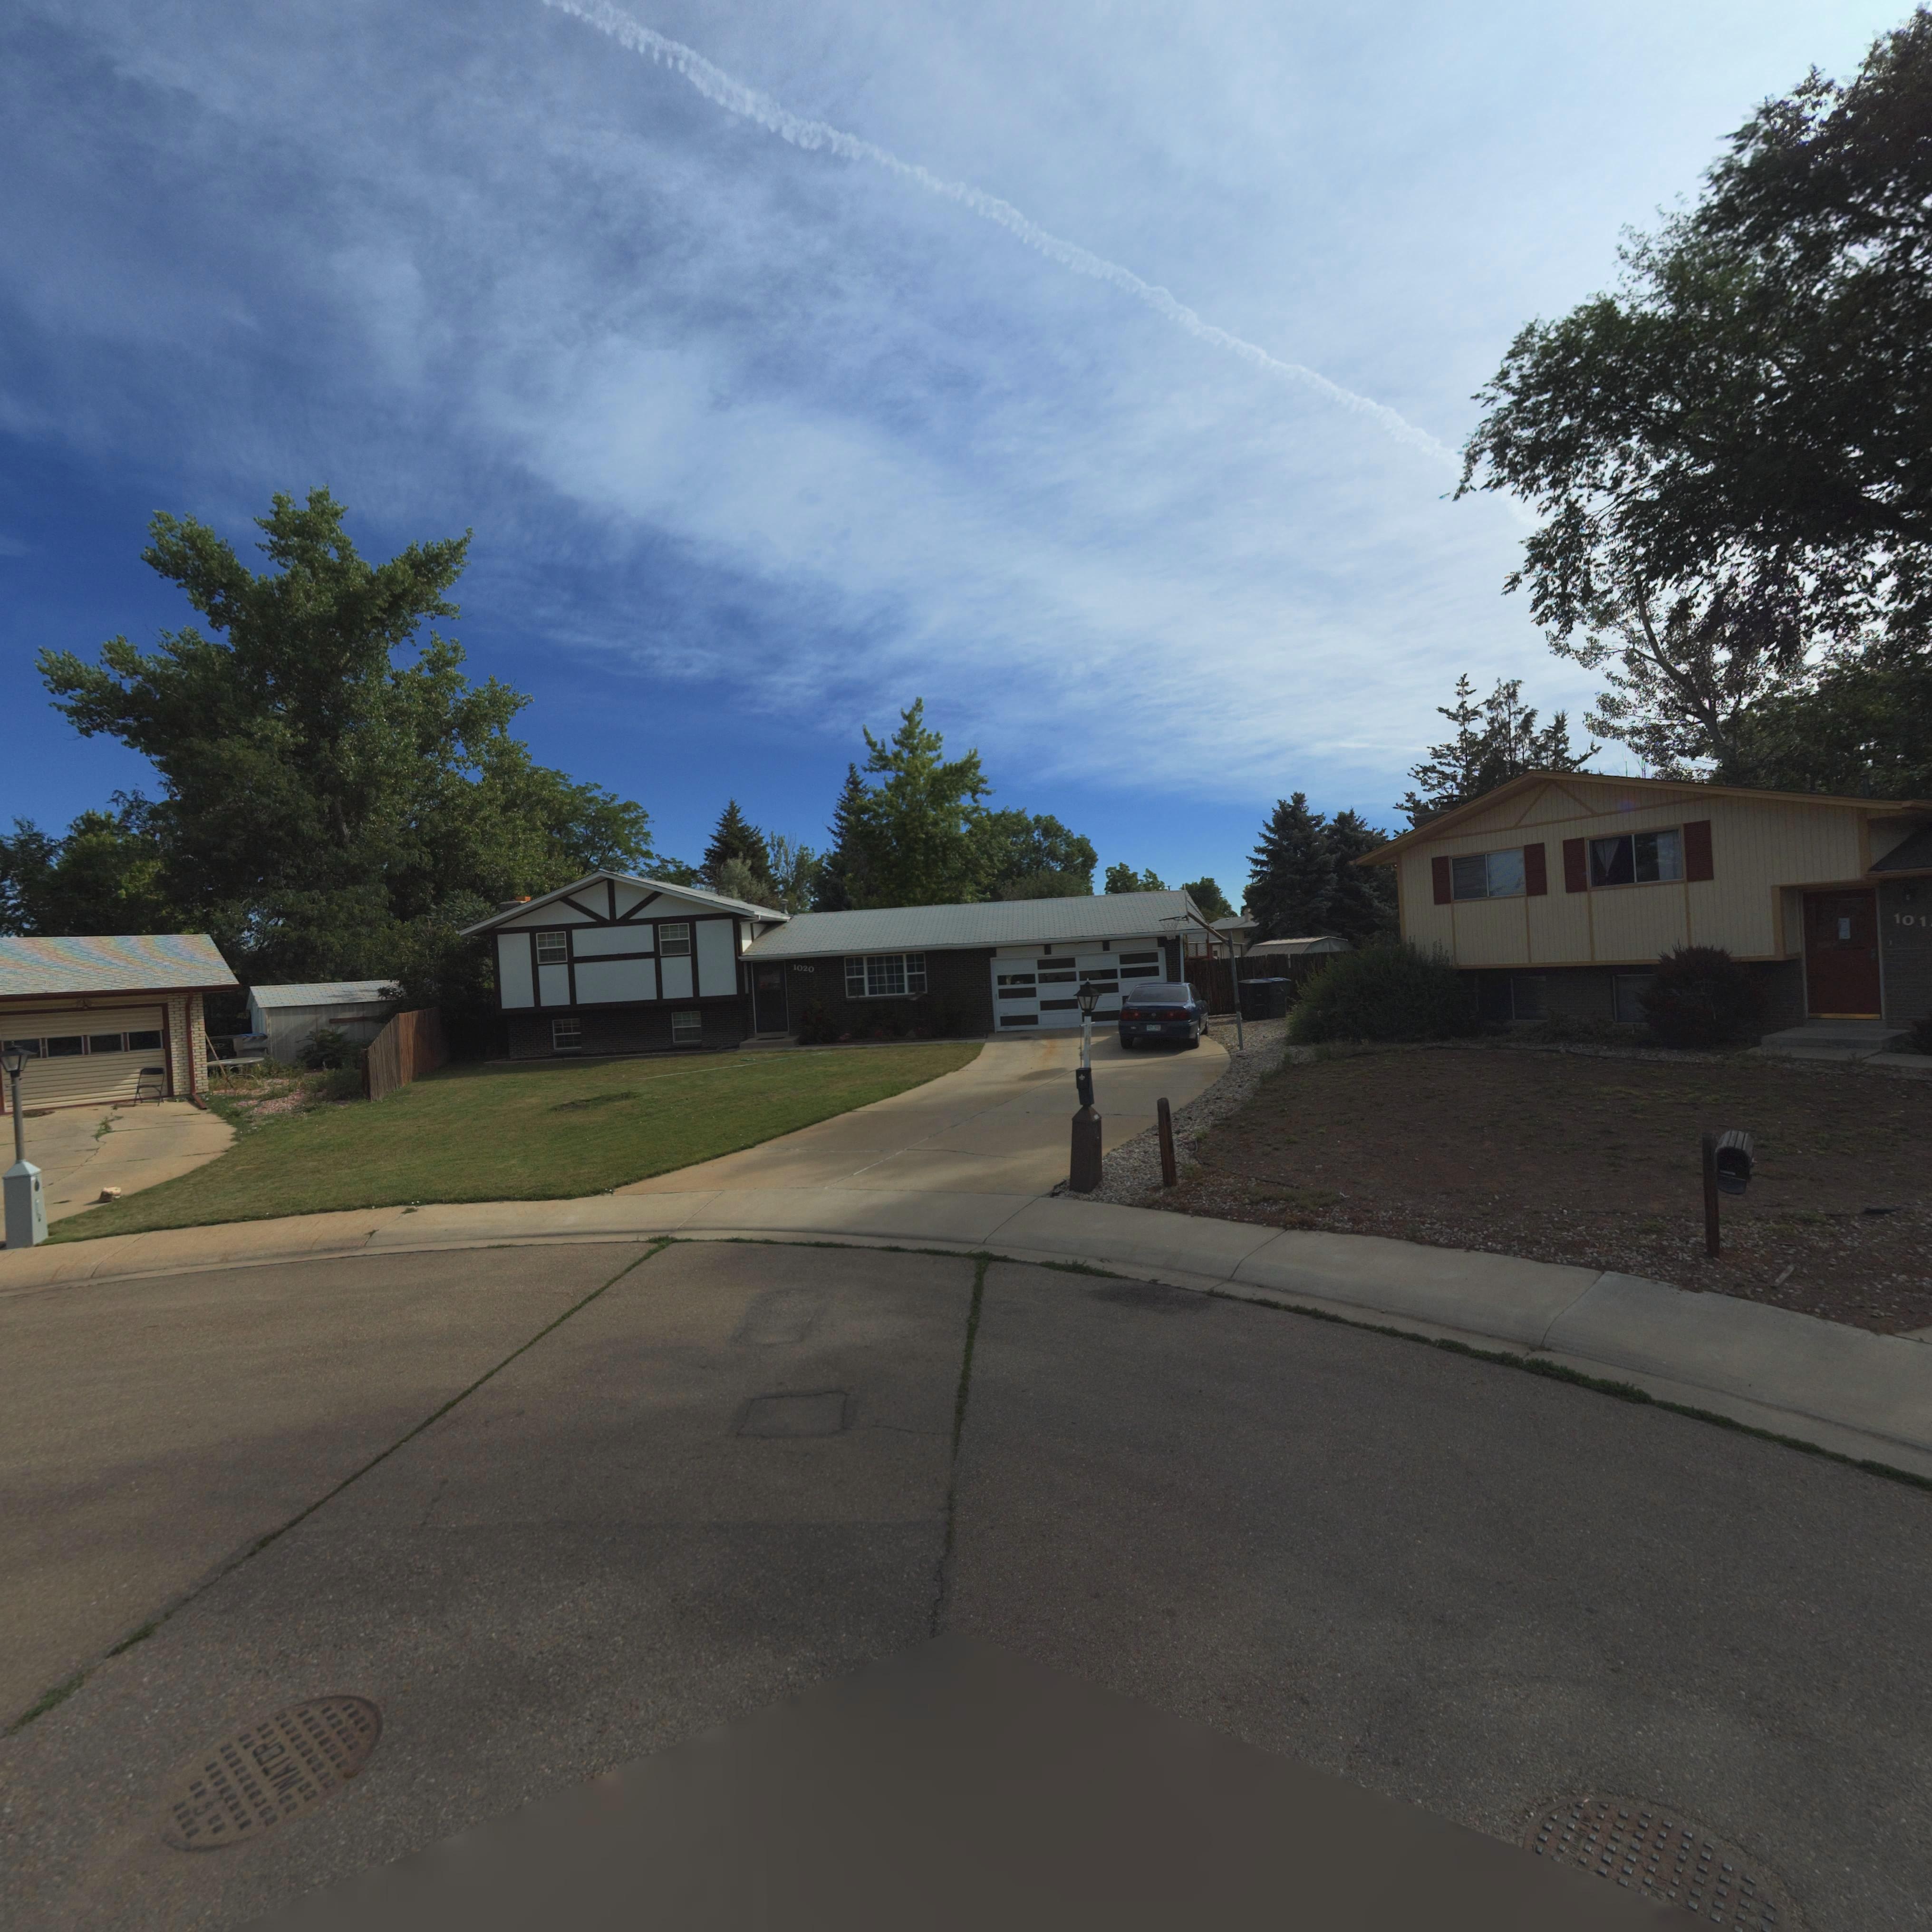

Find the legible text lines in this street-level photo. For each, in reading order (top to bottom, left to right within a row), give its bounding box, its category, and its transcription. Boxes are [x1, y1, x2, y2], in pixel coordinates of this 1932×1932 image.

[1893, 911, 1926, 927] StreetNumber: 101
[793, 964, 814, 973] StreetNumber: 1020